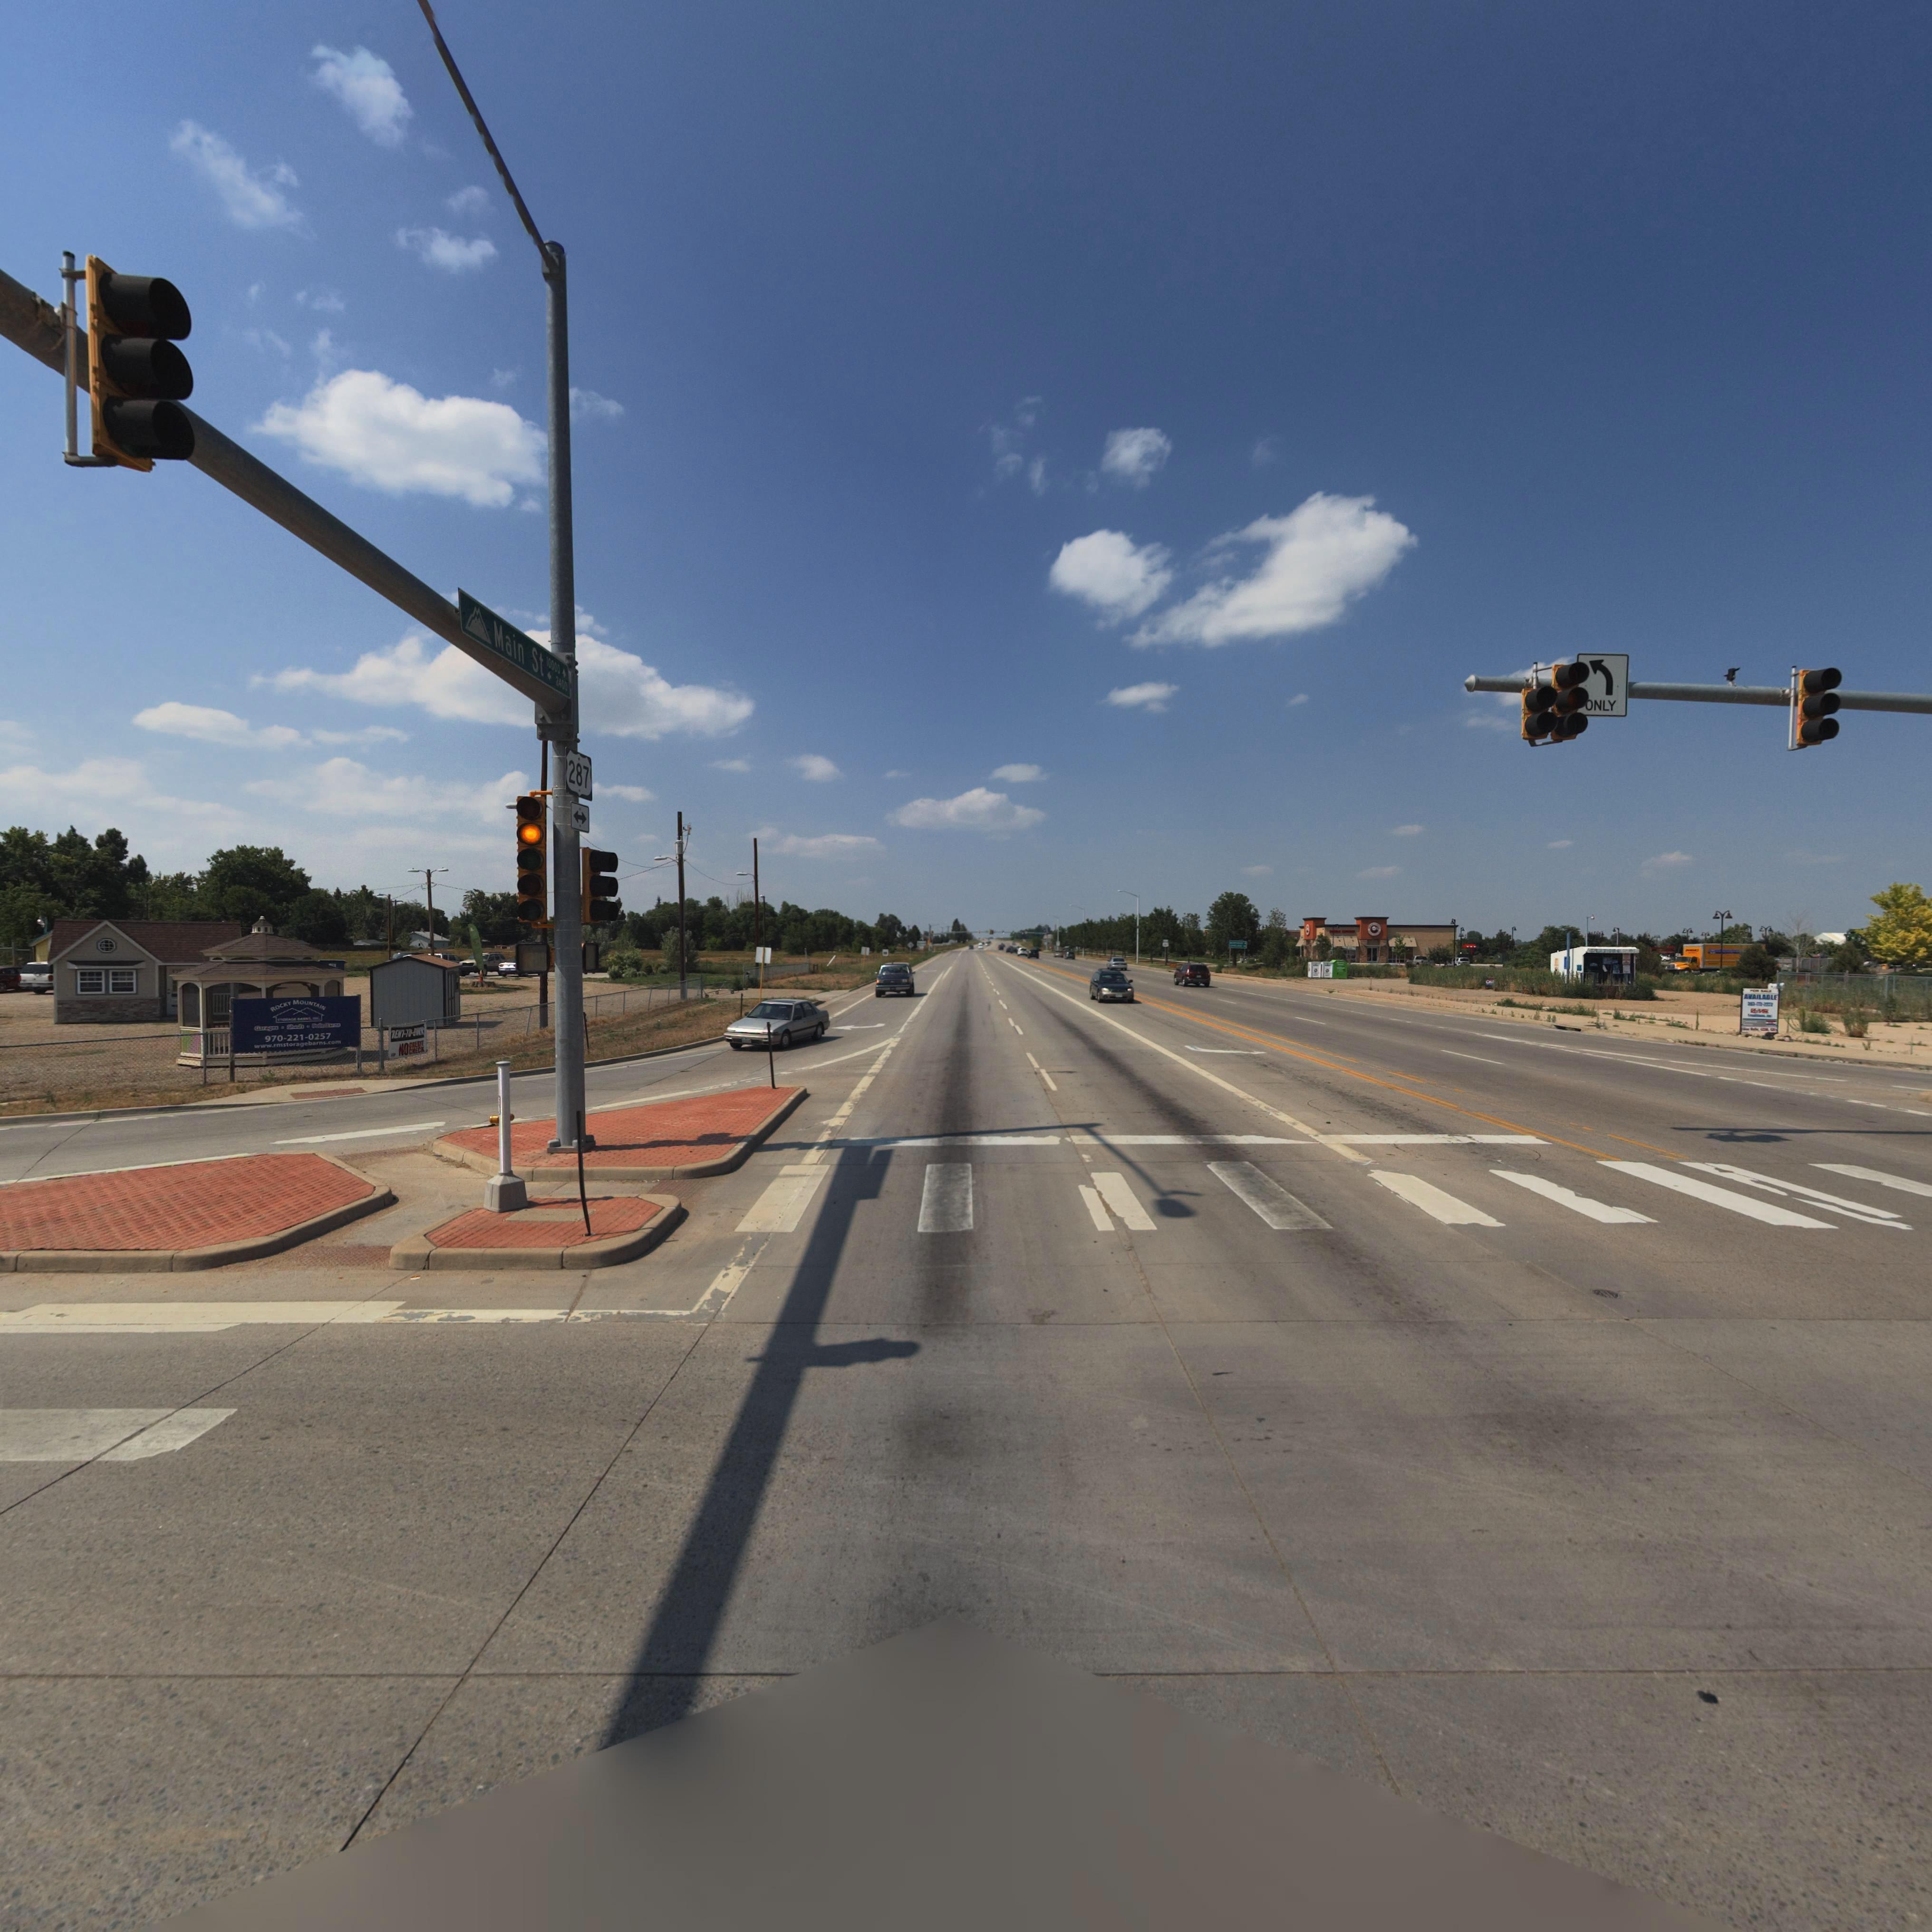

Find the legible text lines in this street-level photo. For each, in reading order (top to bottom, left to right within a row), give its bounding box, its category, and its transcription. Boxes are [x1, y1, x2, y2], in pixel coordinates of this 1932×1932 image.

[493, 619, 544, 678] StreetName: Main St
[546, 656, 560, 675] StreetNumberRange: 10000
[546, 670, 568, 692] StreetNumberRange: <-2400
[270, 999, 327, 1012] BusinessName: ROCKY MOUNTAIN
[277, 1016, 321, 1021] BusinessName: STORAGE NEEDS, INC.